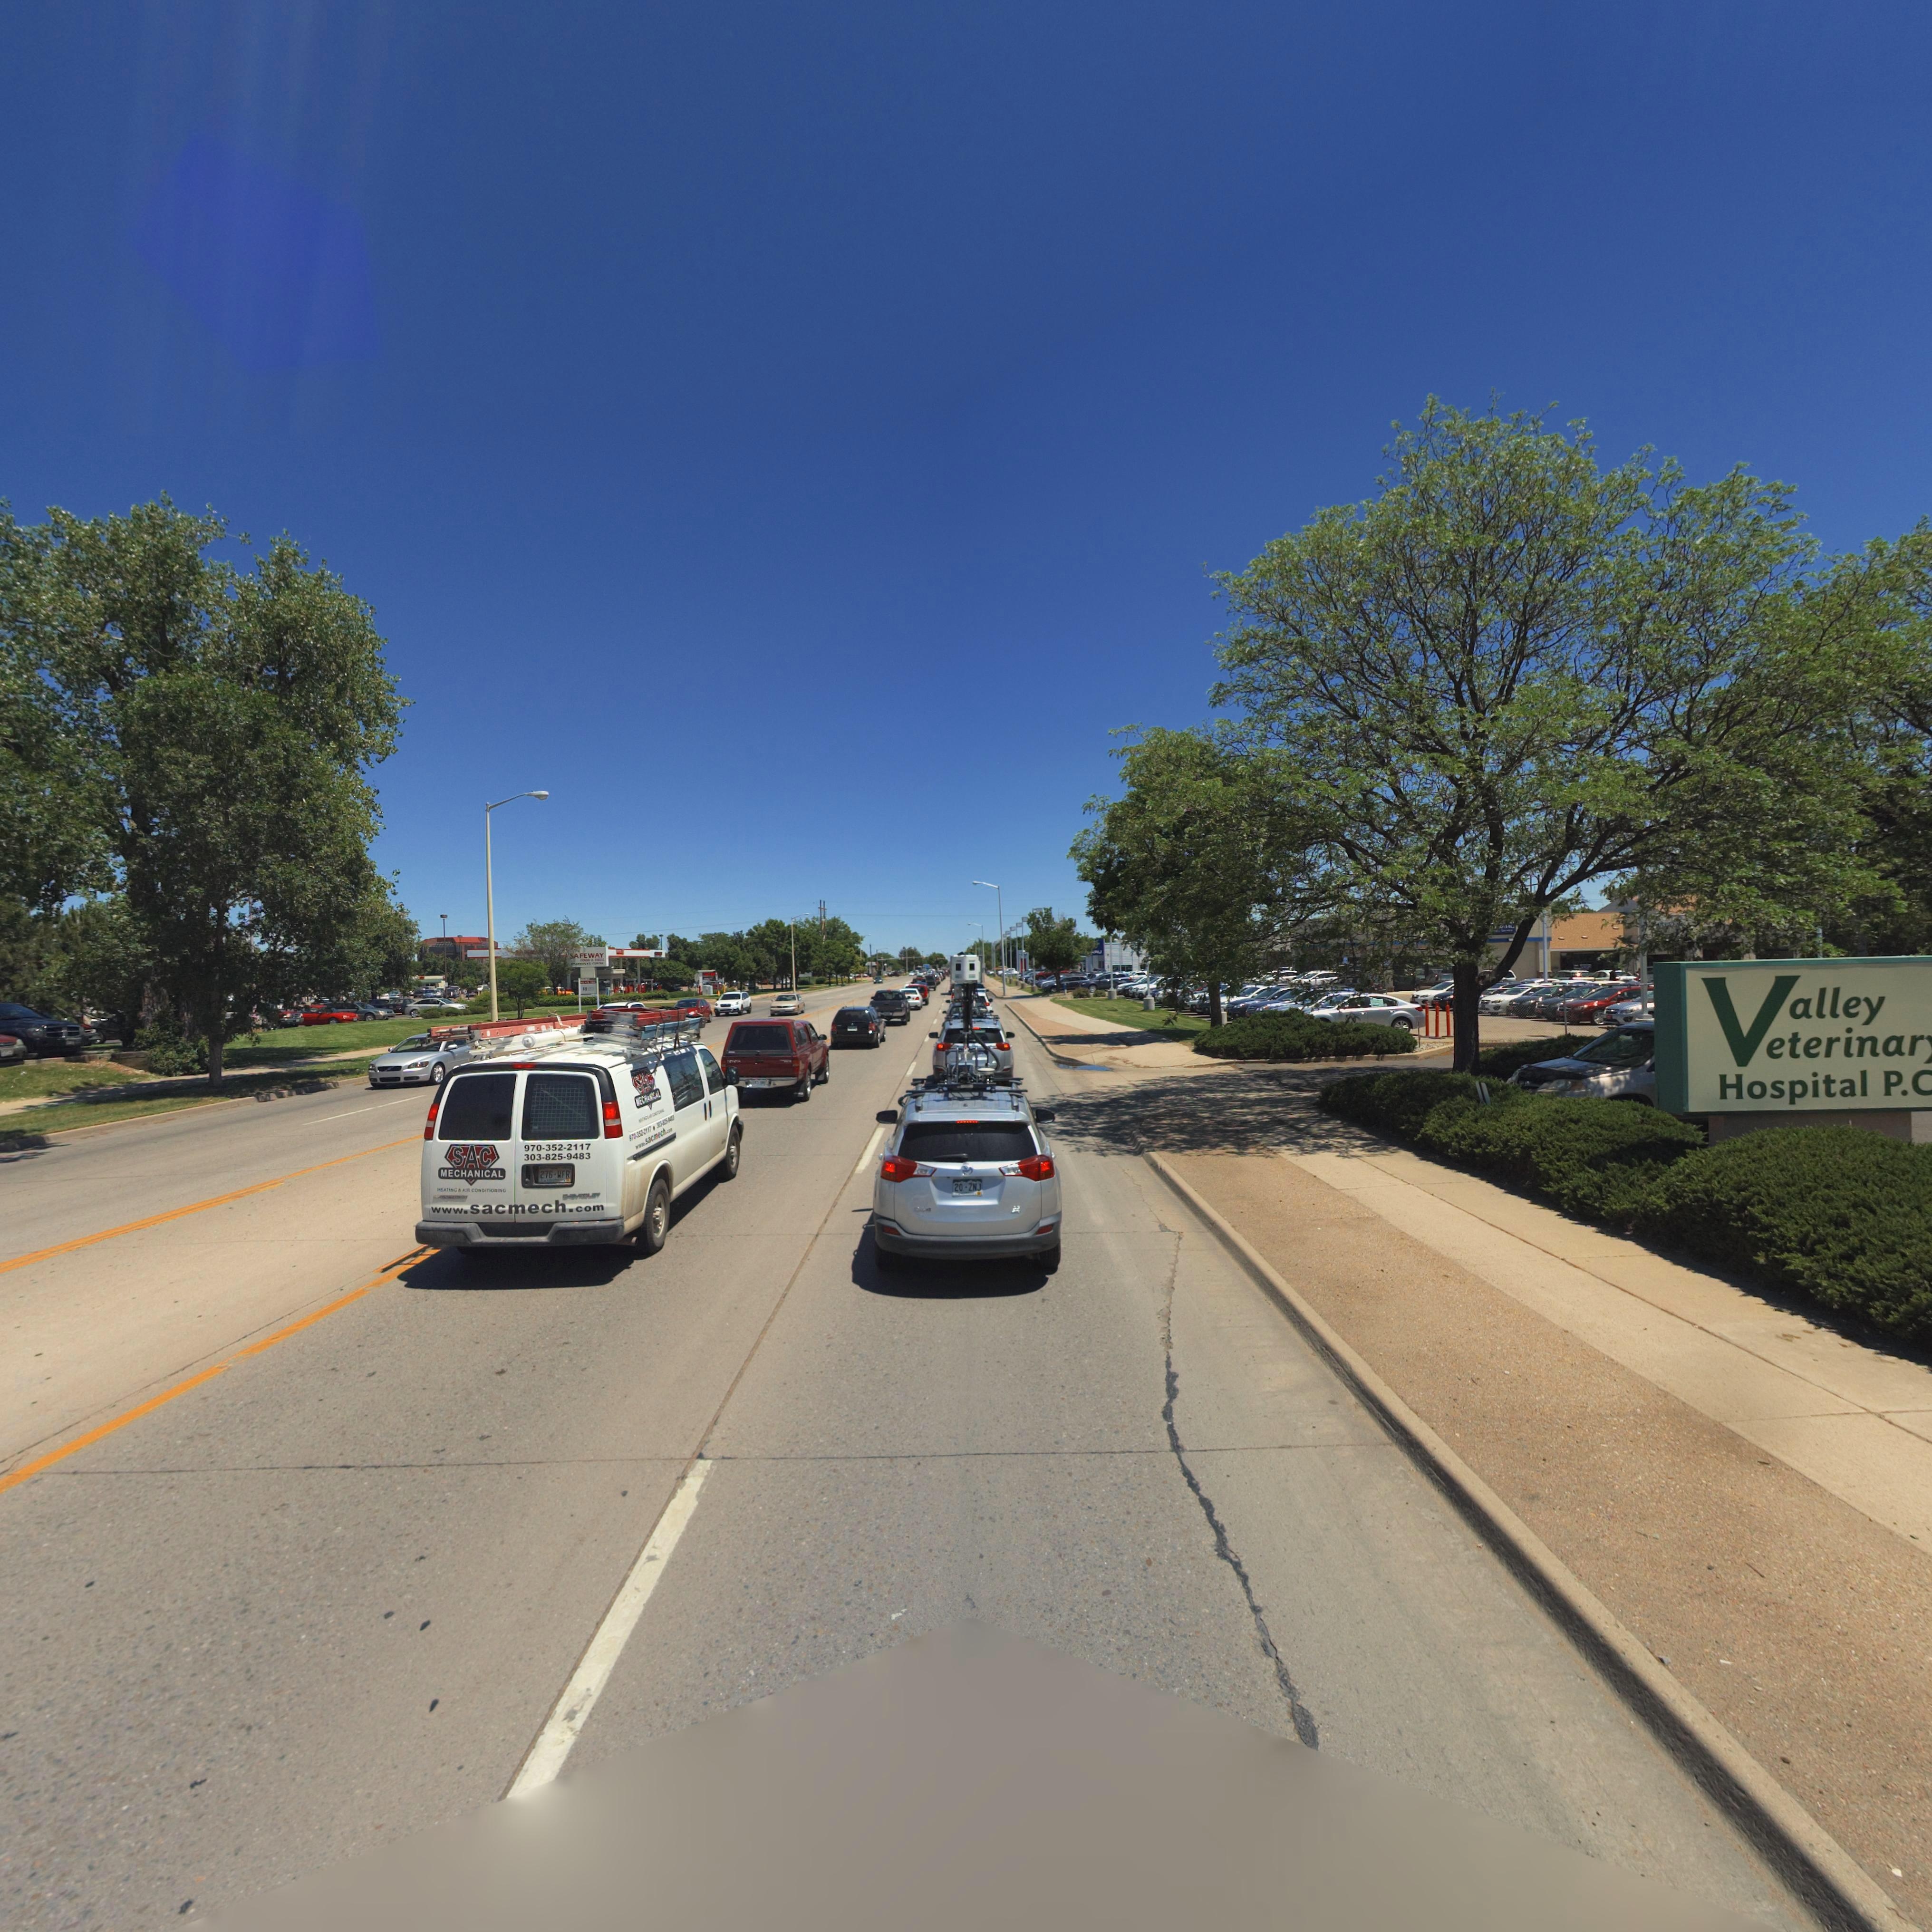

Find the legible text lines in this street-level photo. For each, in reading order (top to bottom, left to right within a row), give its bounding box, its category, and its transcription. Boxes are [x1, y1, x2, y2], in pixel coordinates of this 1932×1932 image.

[569, 952, 604, 959] BusinessName: SAFEWAY
[1091, 949, 1102, 954] BusinessName: *RU
[1700, 974, 1802, 1068] BusinessName: V
[1788, 985, 1886, 1026] BusinessName: alley
[1766, 1026, 1925, 1059] BusinessName: eterinar
[1717, 1069, 1903, 1105] BusinessName: Hostital P